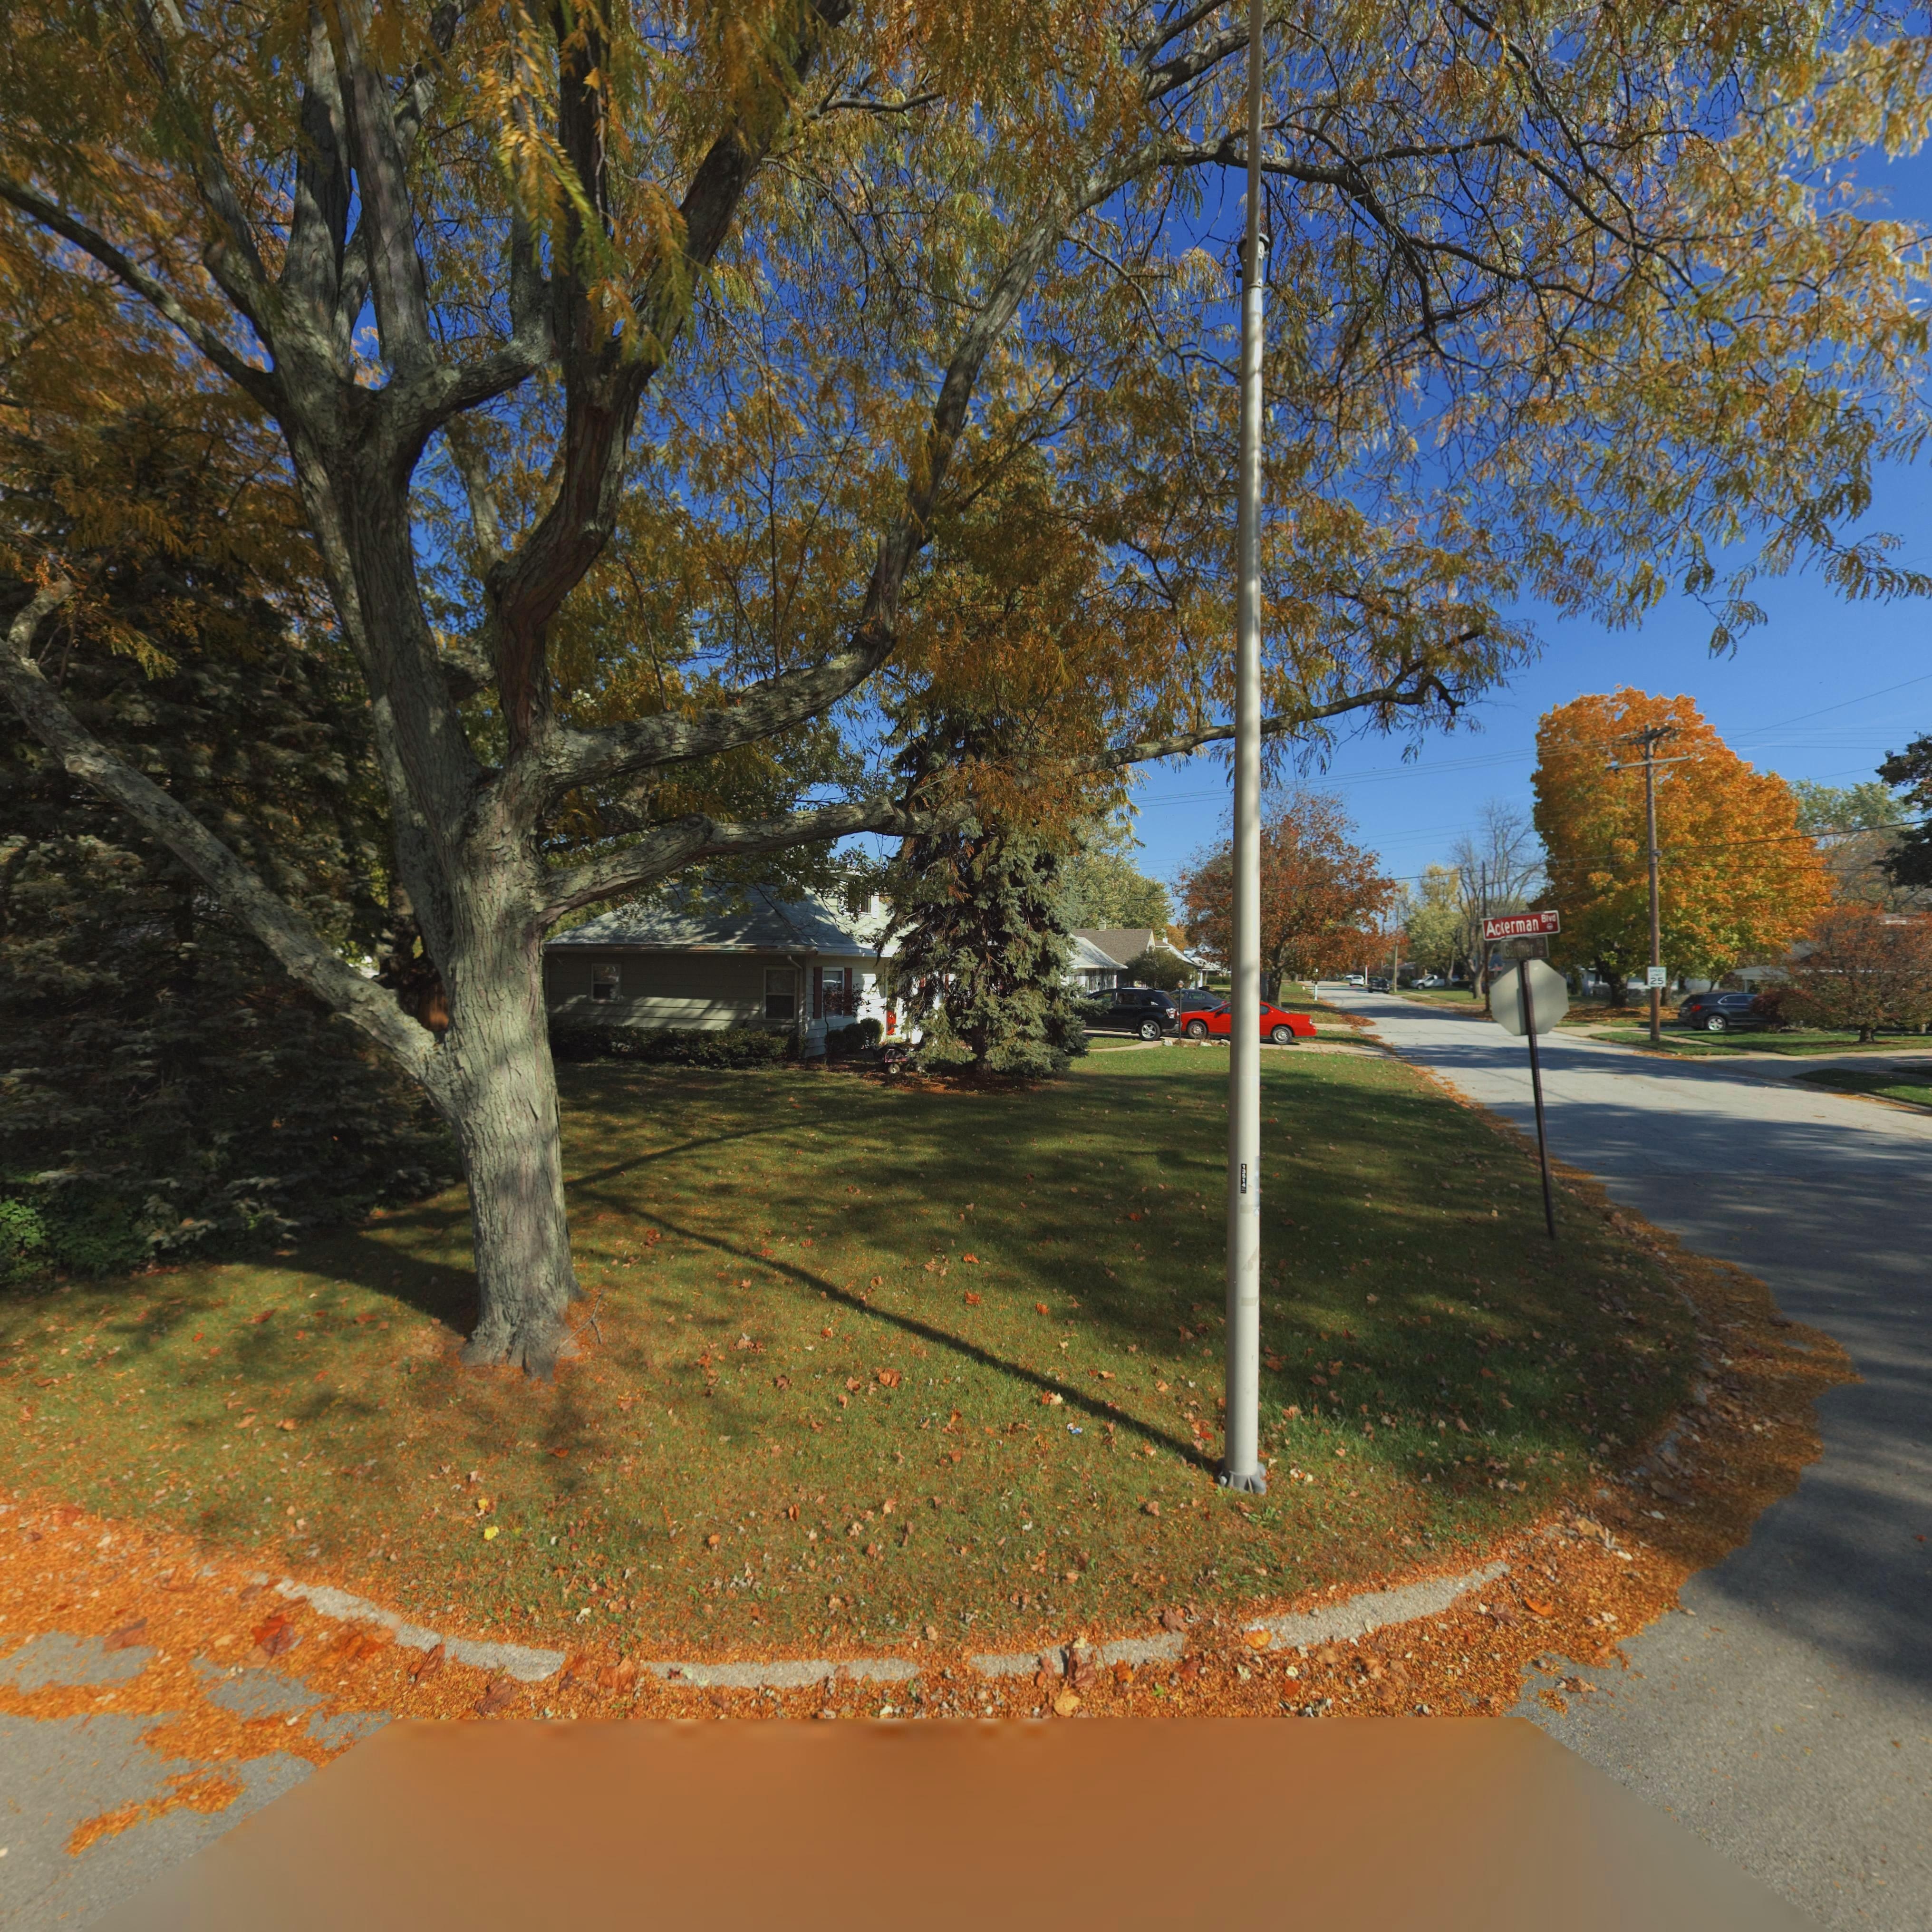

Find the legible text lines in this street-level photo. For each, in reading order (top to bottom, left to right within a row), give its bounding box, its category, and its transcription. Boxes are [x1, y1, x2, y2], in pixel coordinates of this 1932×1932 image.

[1484, 911, 1557, 938] StreetName: Ac*erman Blvd
[1650, 976, 1664, 985] None: 25